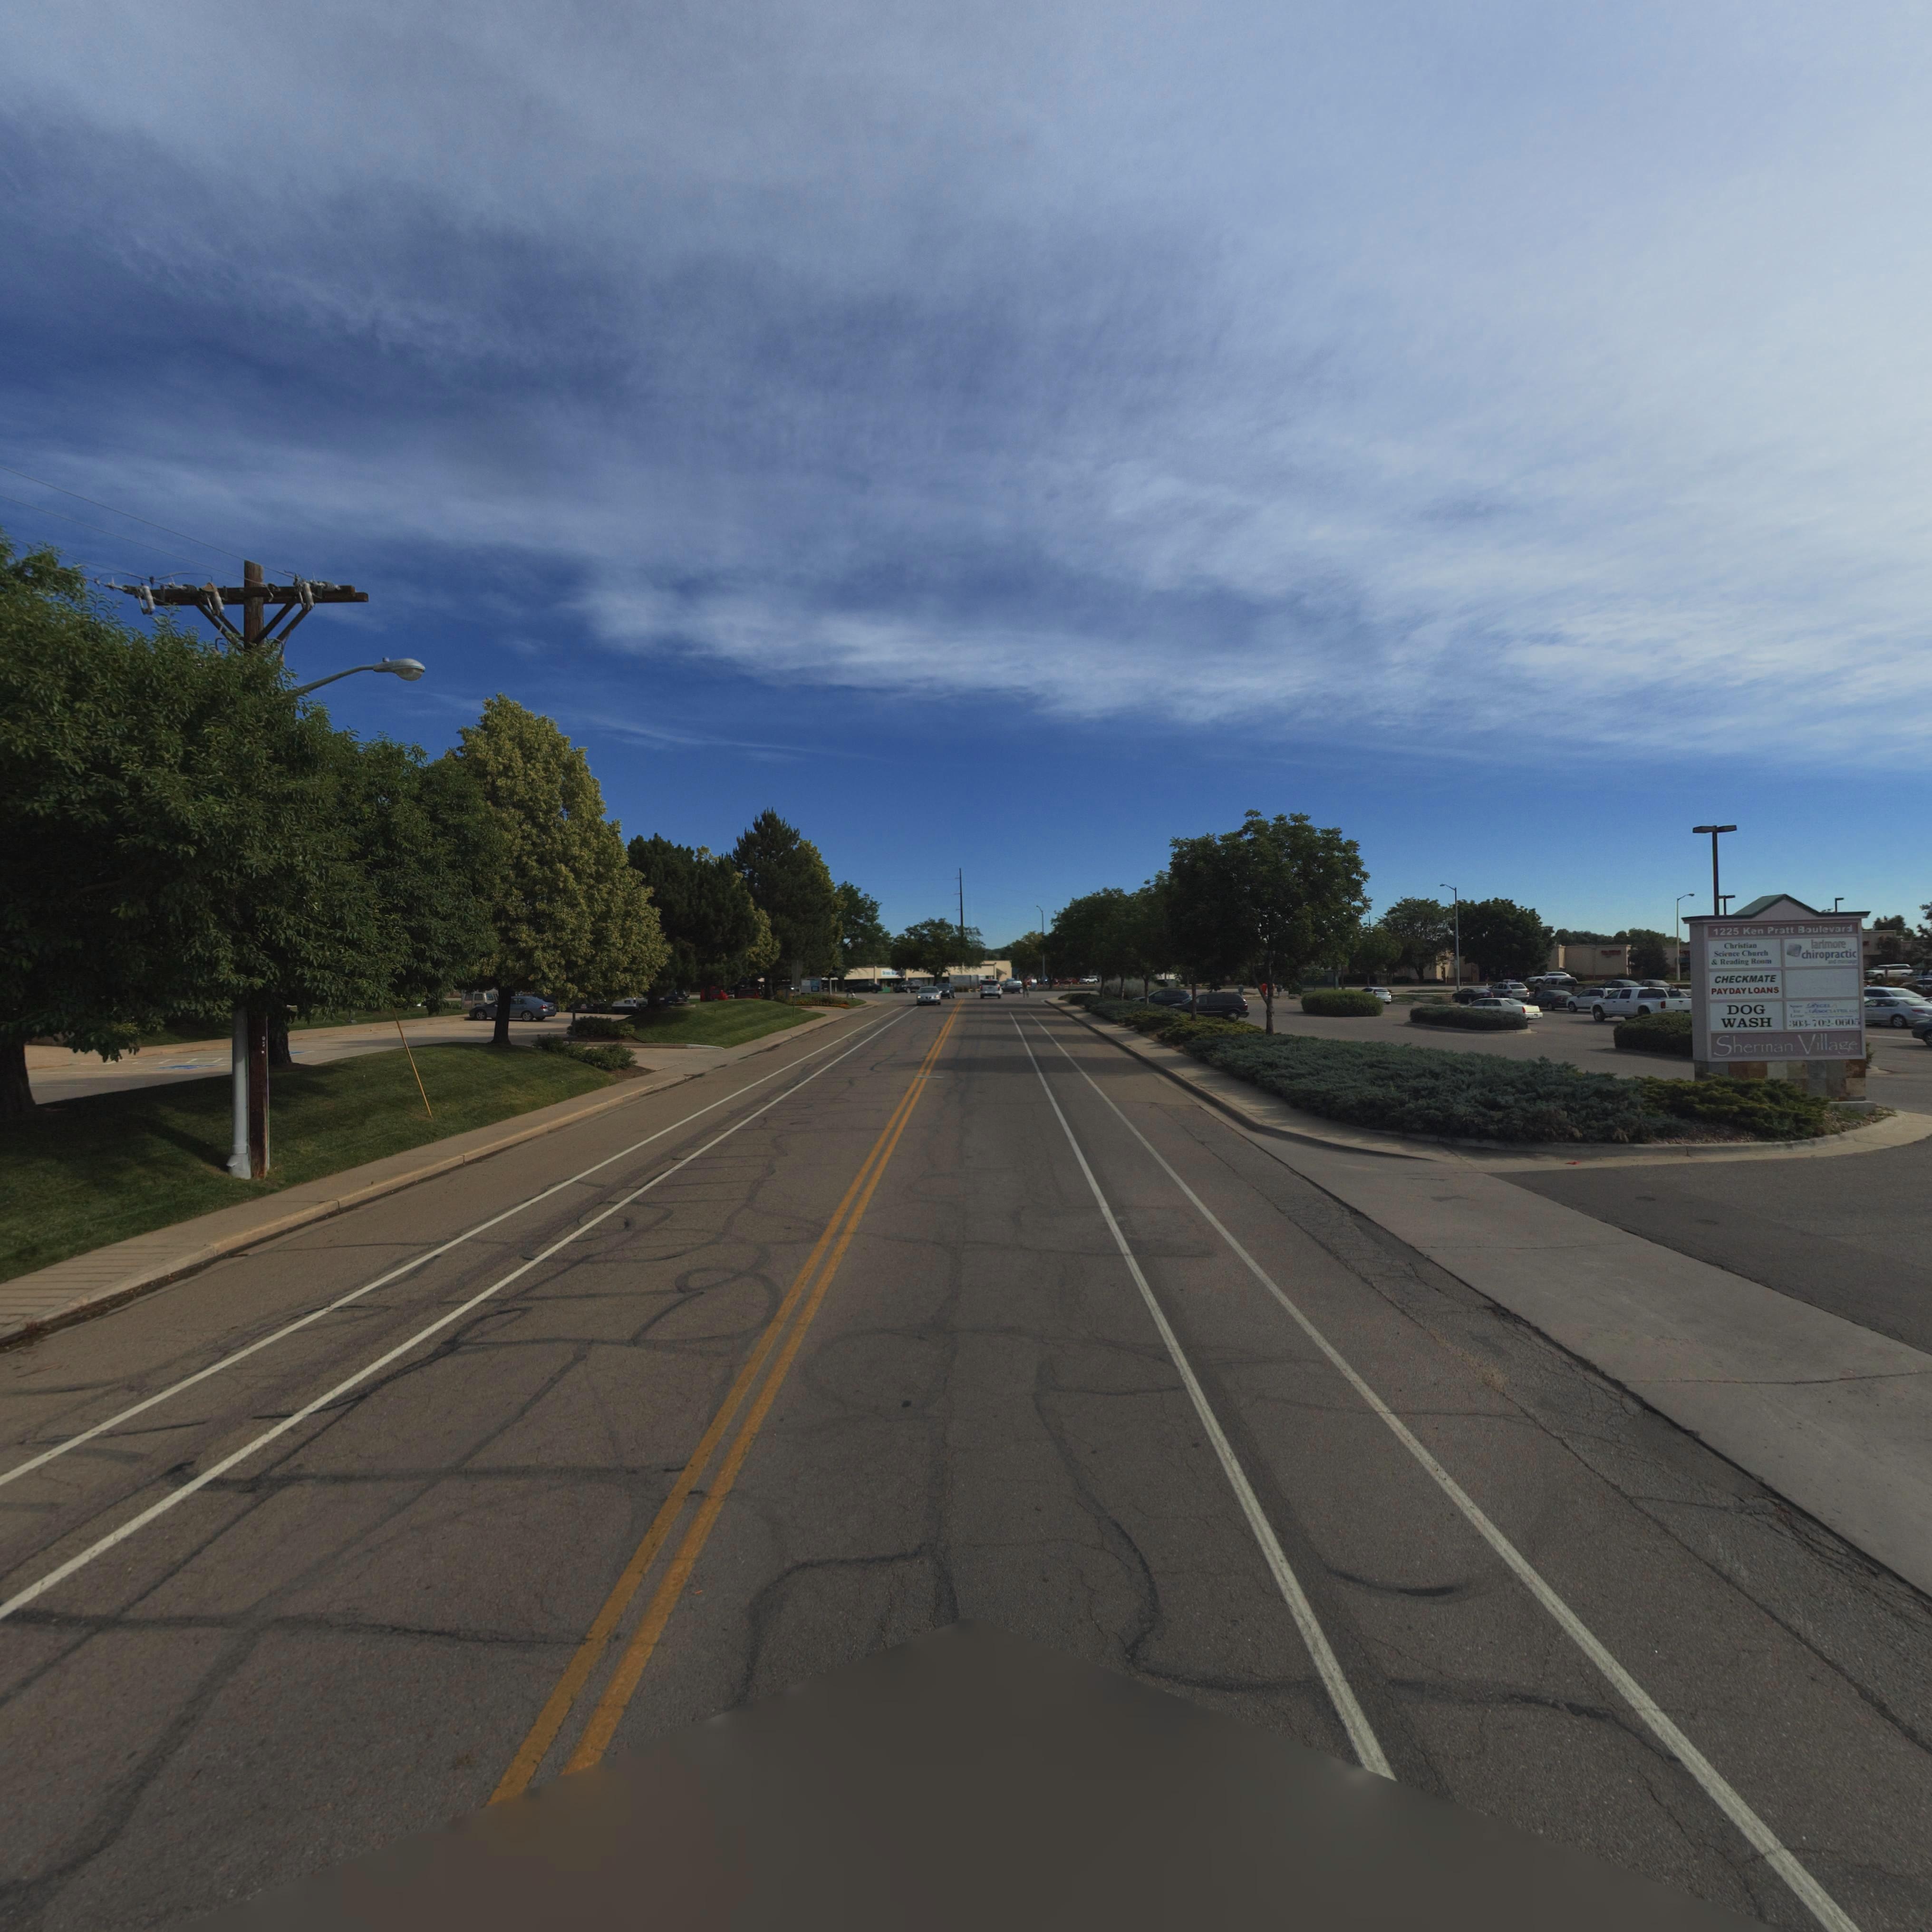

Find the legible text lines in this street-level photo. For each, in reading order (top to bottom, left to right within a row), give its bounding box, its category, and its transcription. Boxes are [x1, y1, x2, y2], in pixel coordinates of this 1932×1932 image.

[1713, 927, 1739, 936] StreetNumber: 1225
[1743, 924, 1852, 934] StreetName: Ken Pratt Boulevard
[1724, 942, 1757, 948] BusinessName: Christian 
[1810, 938, 1846, 949] BusinessName: larimore
[1714, 949, 1768, 956] BusinessName: Science Church
[1801, 949, 1857, 960] BusinessName: chiropratic
[1710, 958, 1771, 966] None: * Reading Room
[1715, 975, 1776, 983] BusinessName: CHECKMATE
[1712, 986, 1778, 994] BusinessName: PAYDAY L OANS
[1726, 1004, 1765, 1015] BusinessName: DOG
[1721, 1017, 1772, 1028] BusinessName: WASH